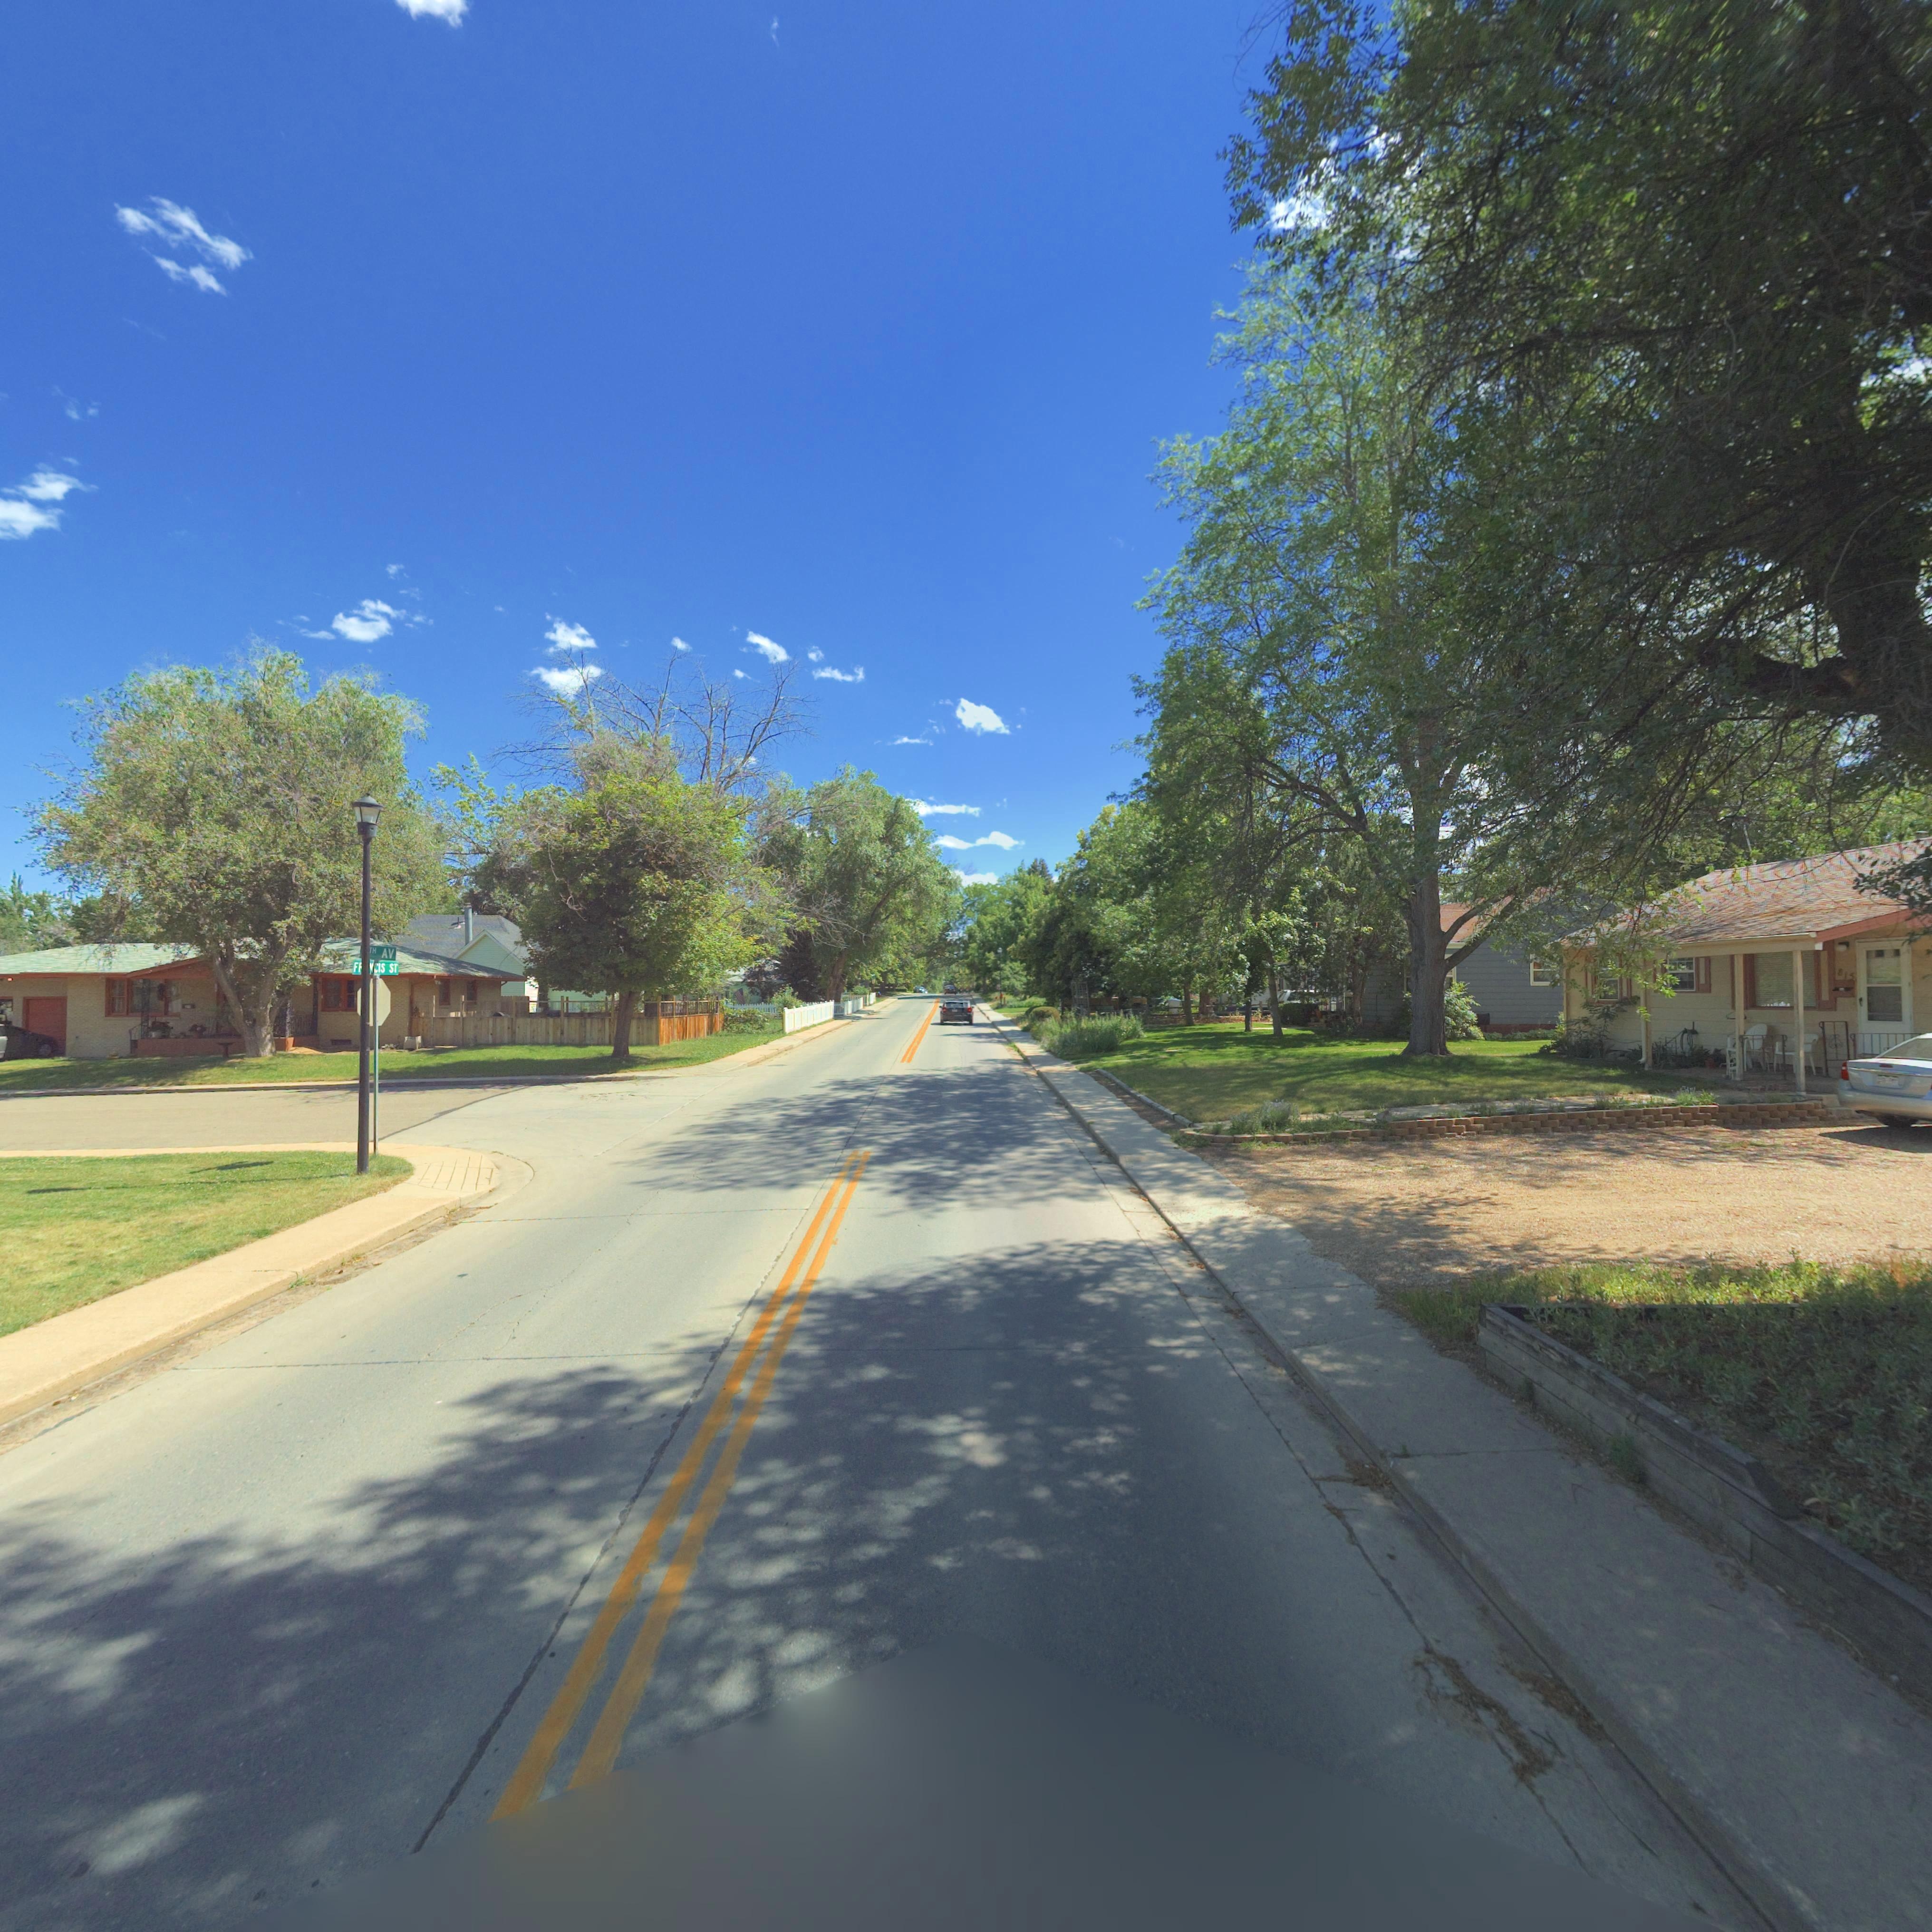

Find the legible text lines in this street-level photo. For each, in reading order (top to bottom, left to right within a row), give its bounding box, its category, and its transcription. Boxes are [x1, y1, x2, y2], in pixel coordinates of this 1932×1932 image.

[369, 946, 396, 959] StreetName: TH AV
[352, 961, 398, 974] StreetName: F***CIS ST
[1837, 967, 1855, 980] StreetNumber: 815